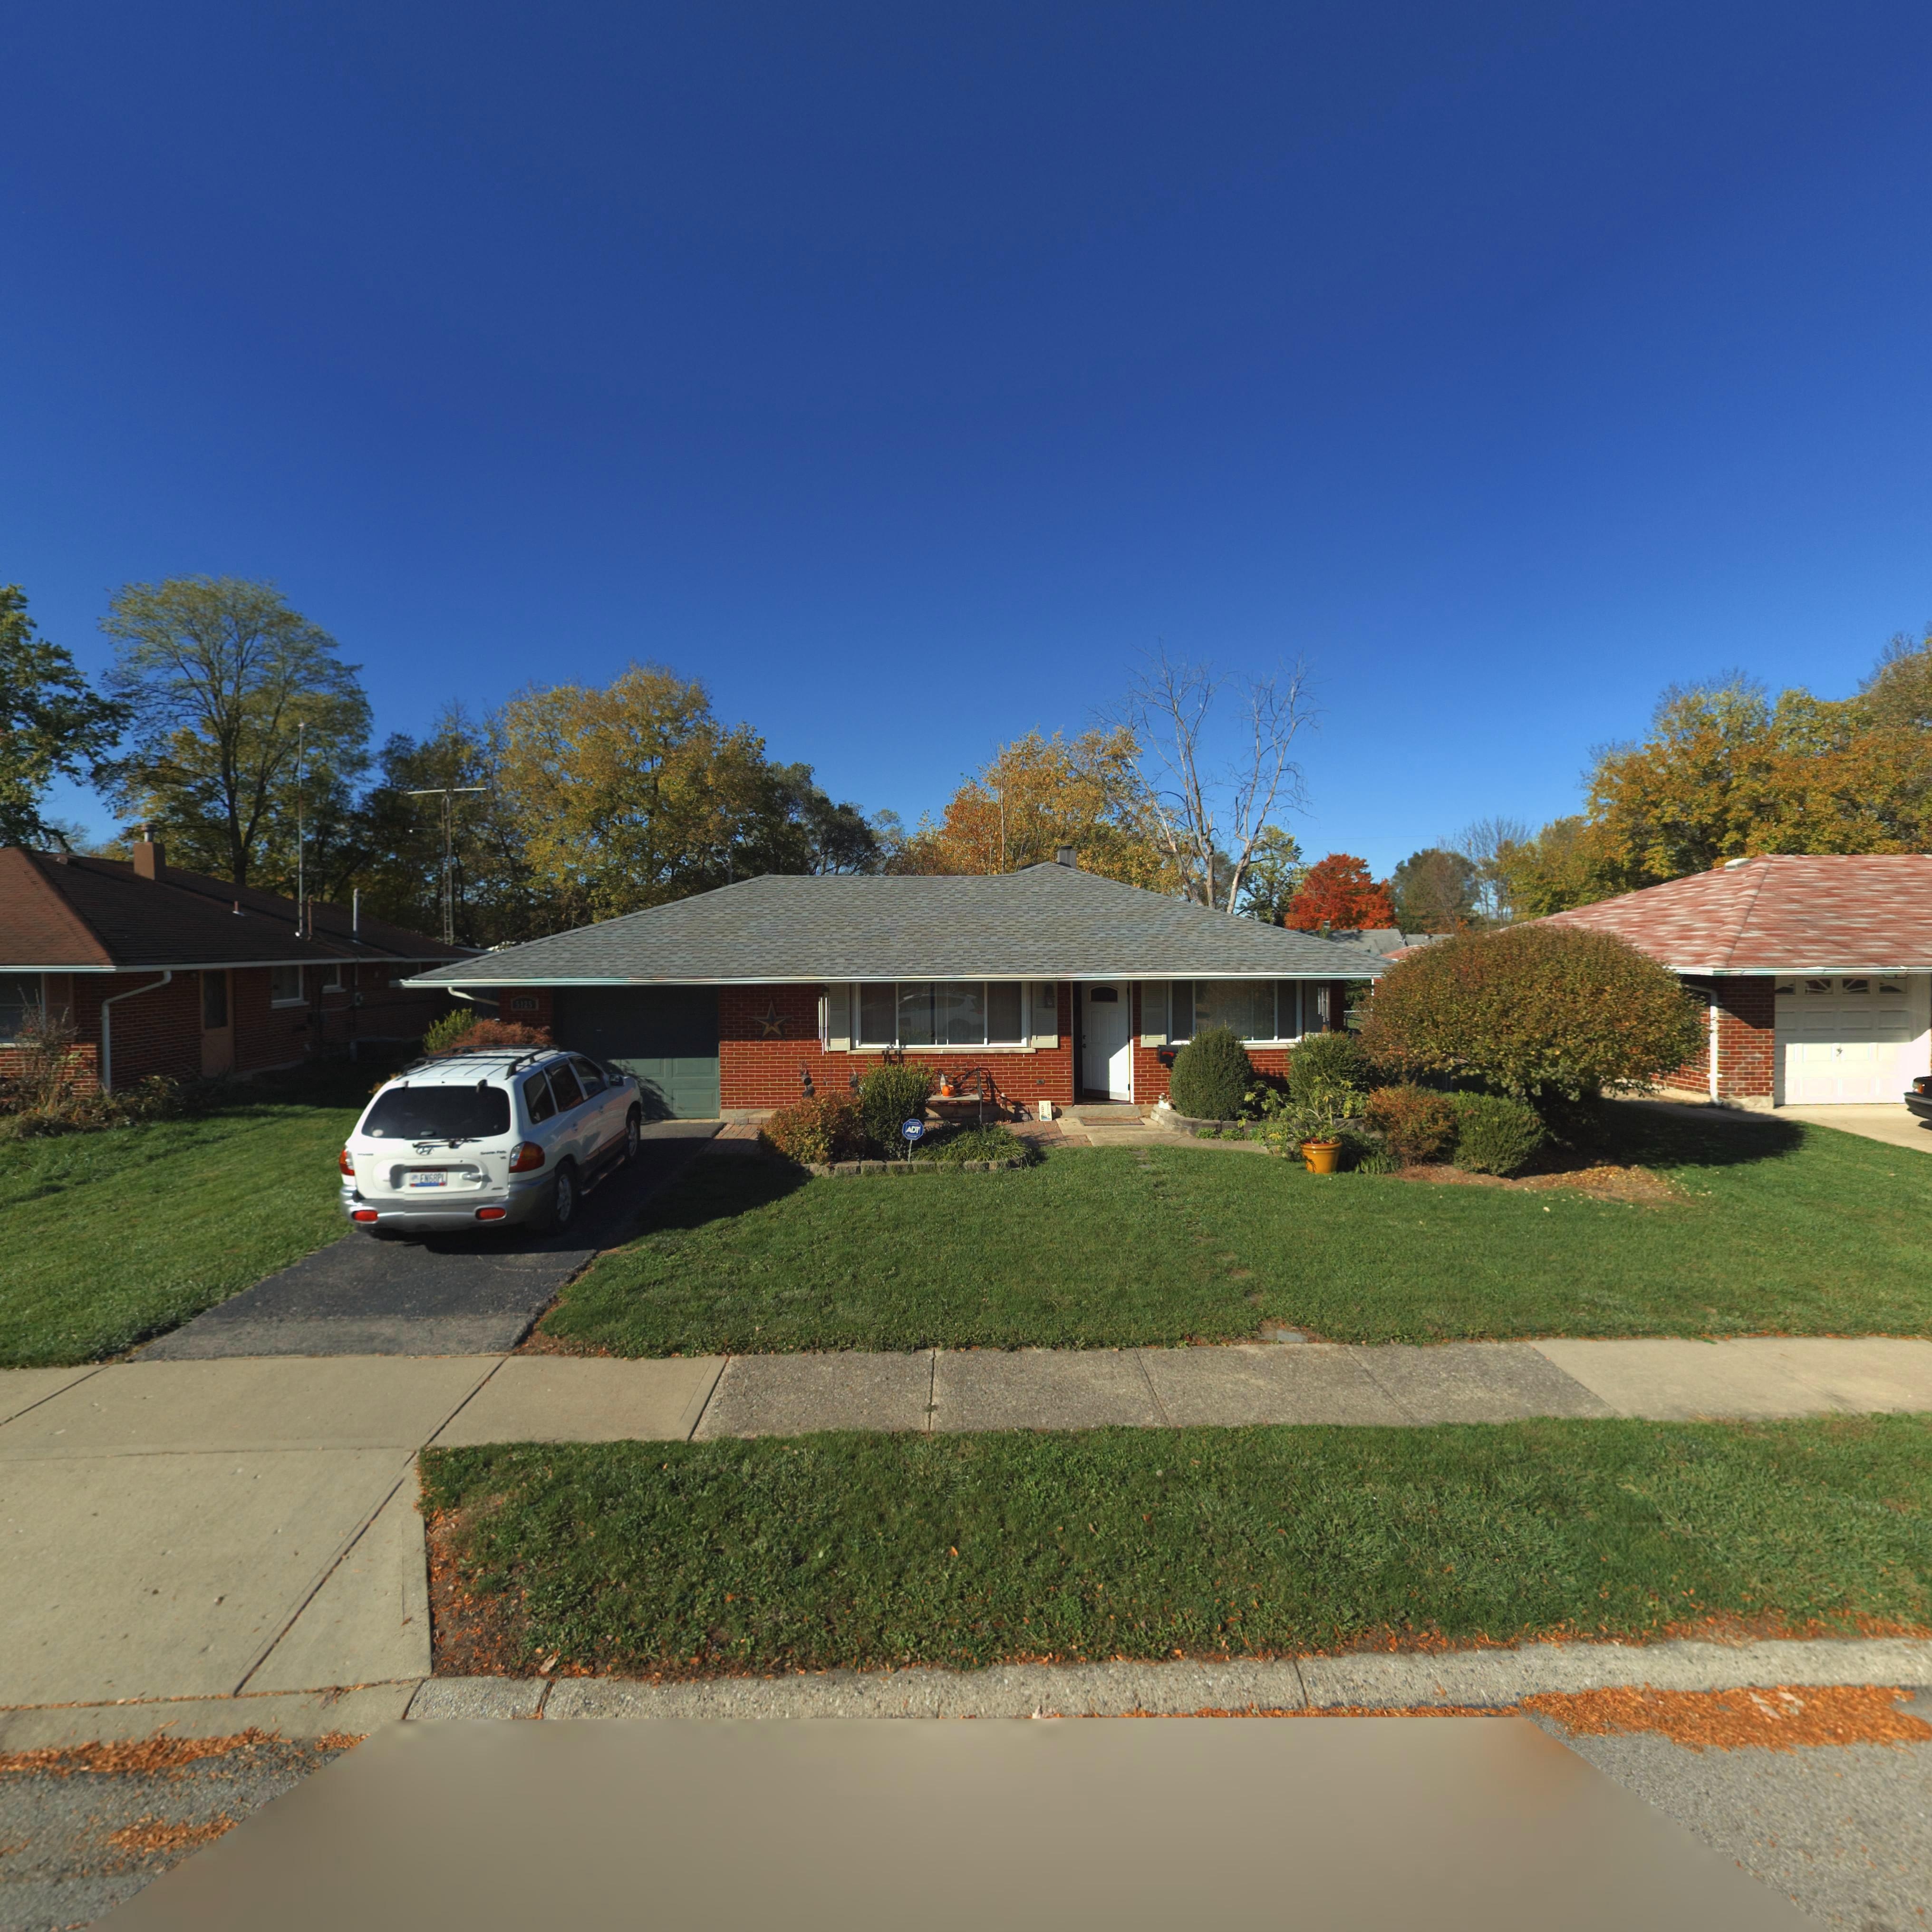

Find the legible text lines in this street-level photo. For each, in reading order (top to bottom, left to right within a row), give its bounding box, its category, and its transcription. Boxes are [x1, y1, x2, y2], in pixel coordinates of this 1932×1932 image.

[515, 1000, 532, 1008] StreetNumber: 5125